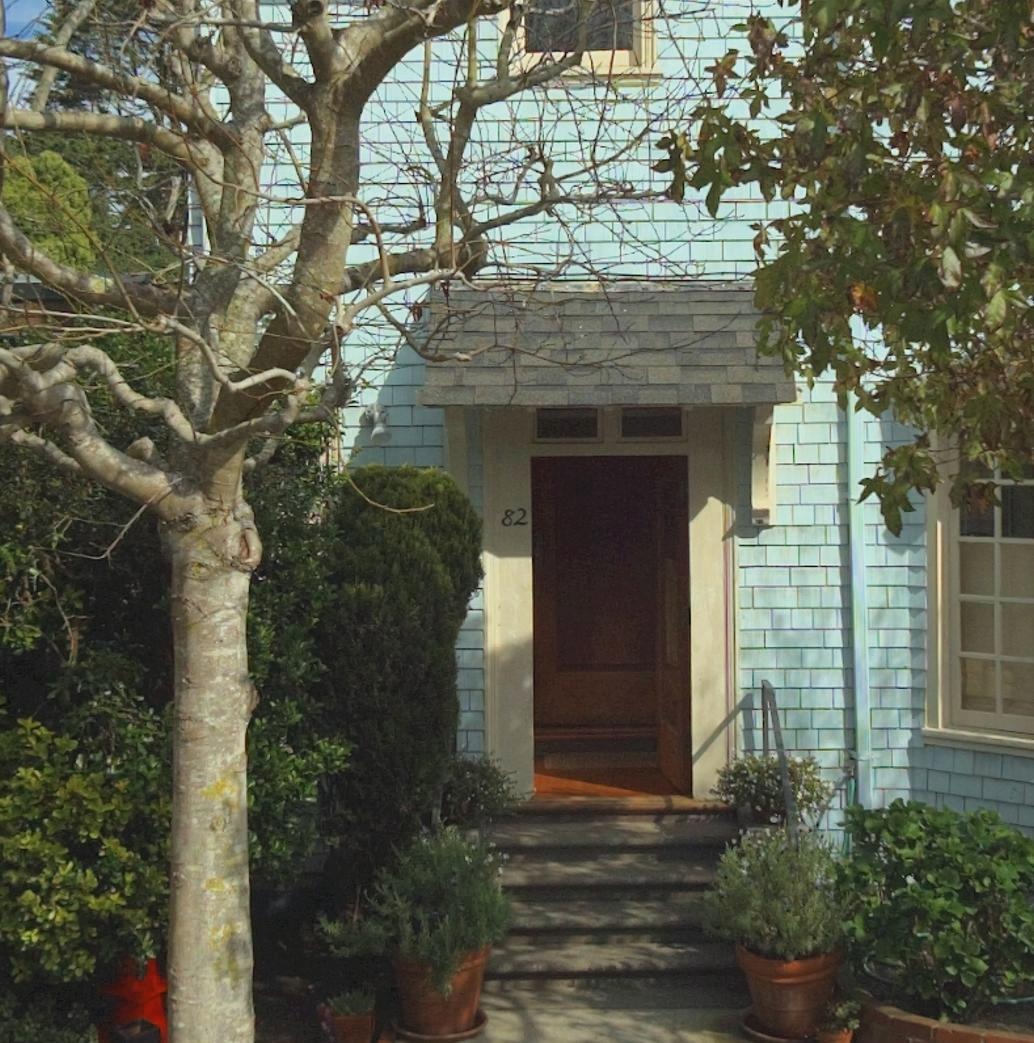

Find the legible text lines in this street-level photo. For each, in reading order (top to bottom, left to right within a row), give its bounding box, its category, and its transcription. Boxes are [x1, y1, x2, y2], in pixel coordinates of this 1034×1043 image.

[500, 507, 529, 528] StreetNumber: 82